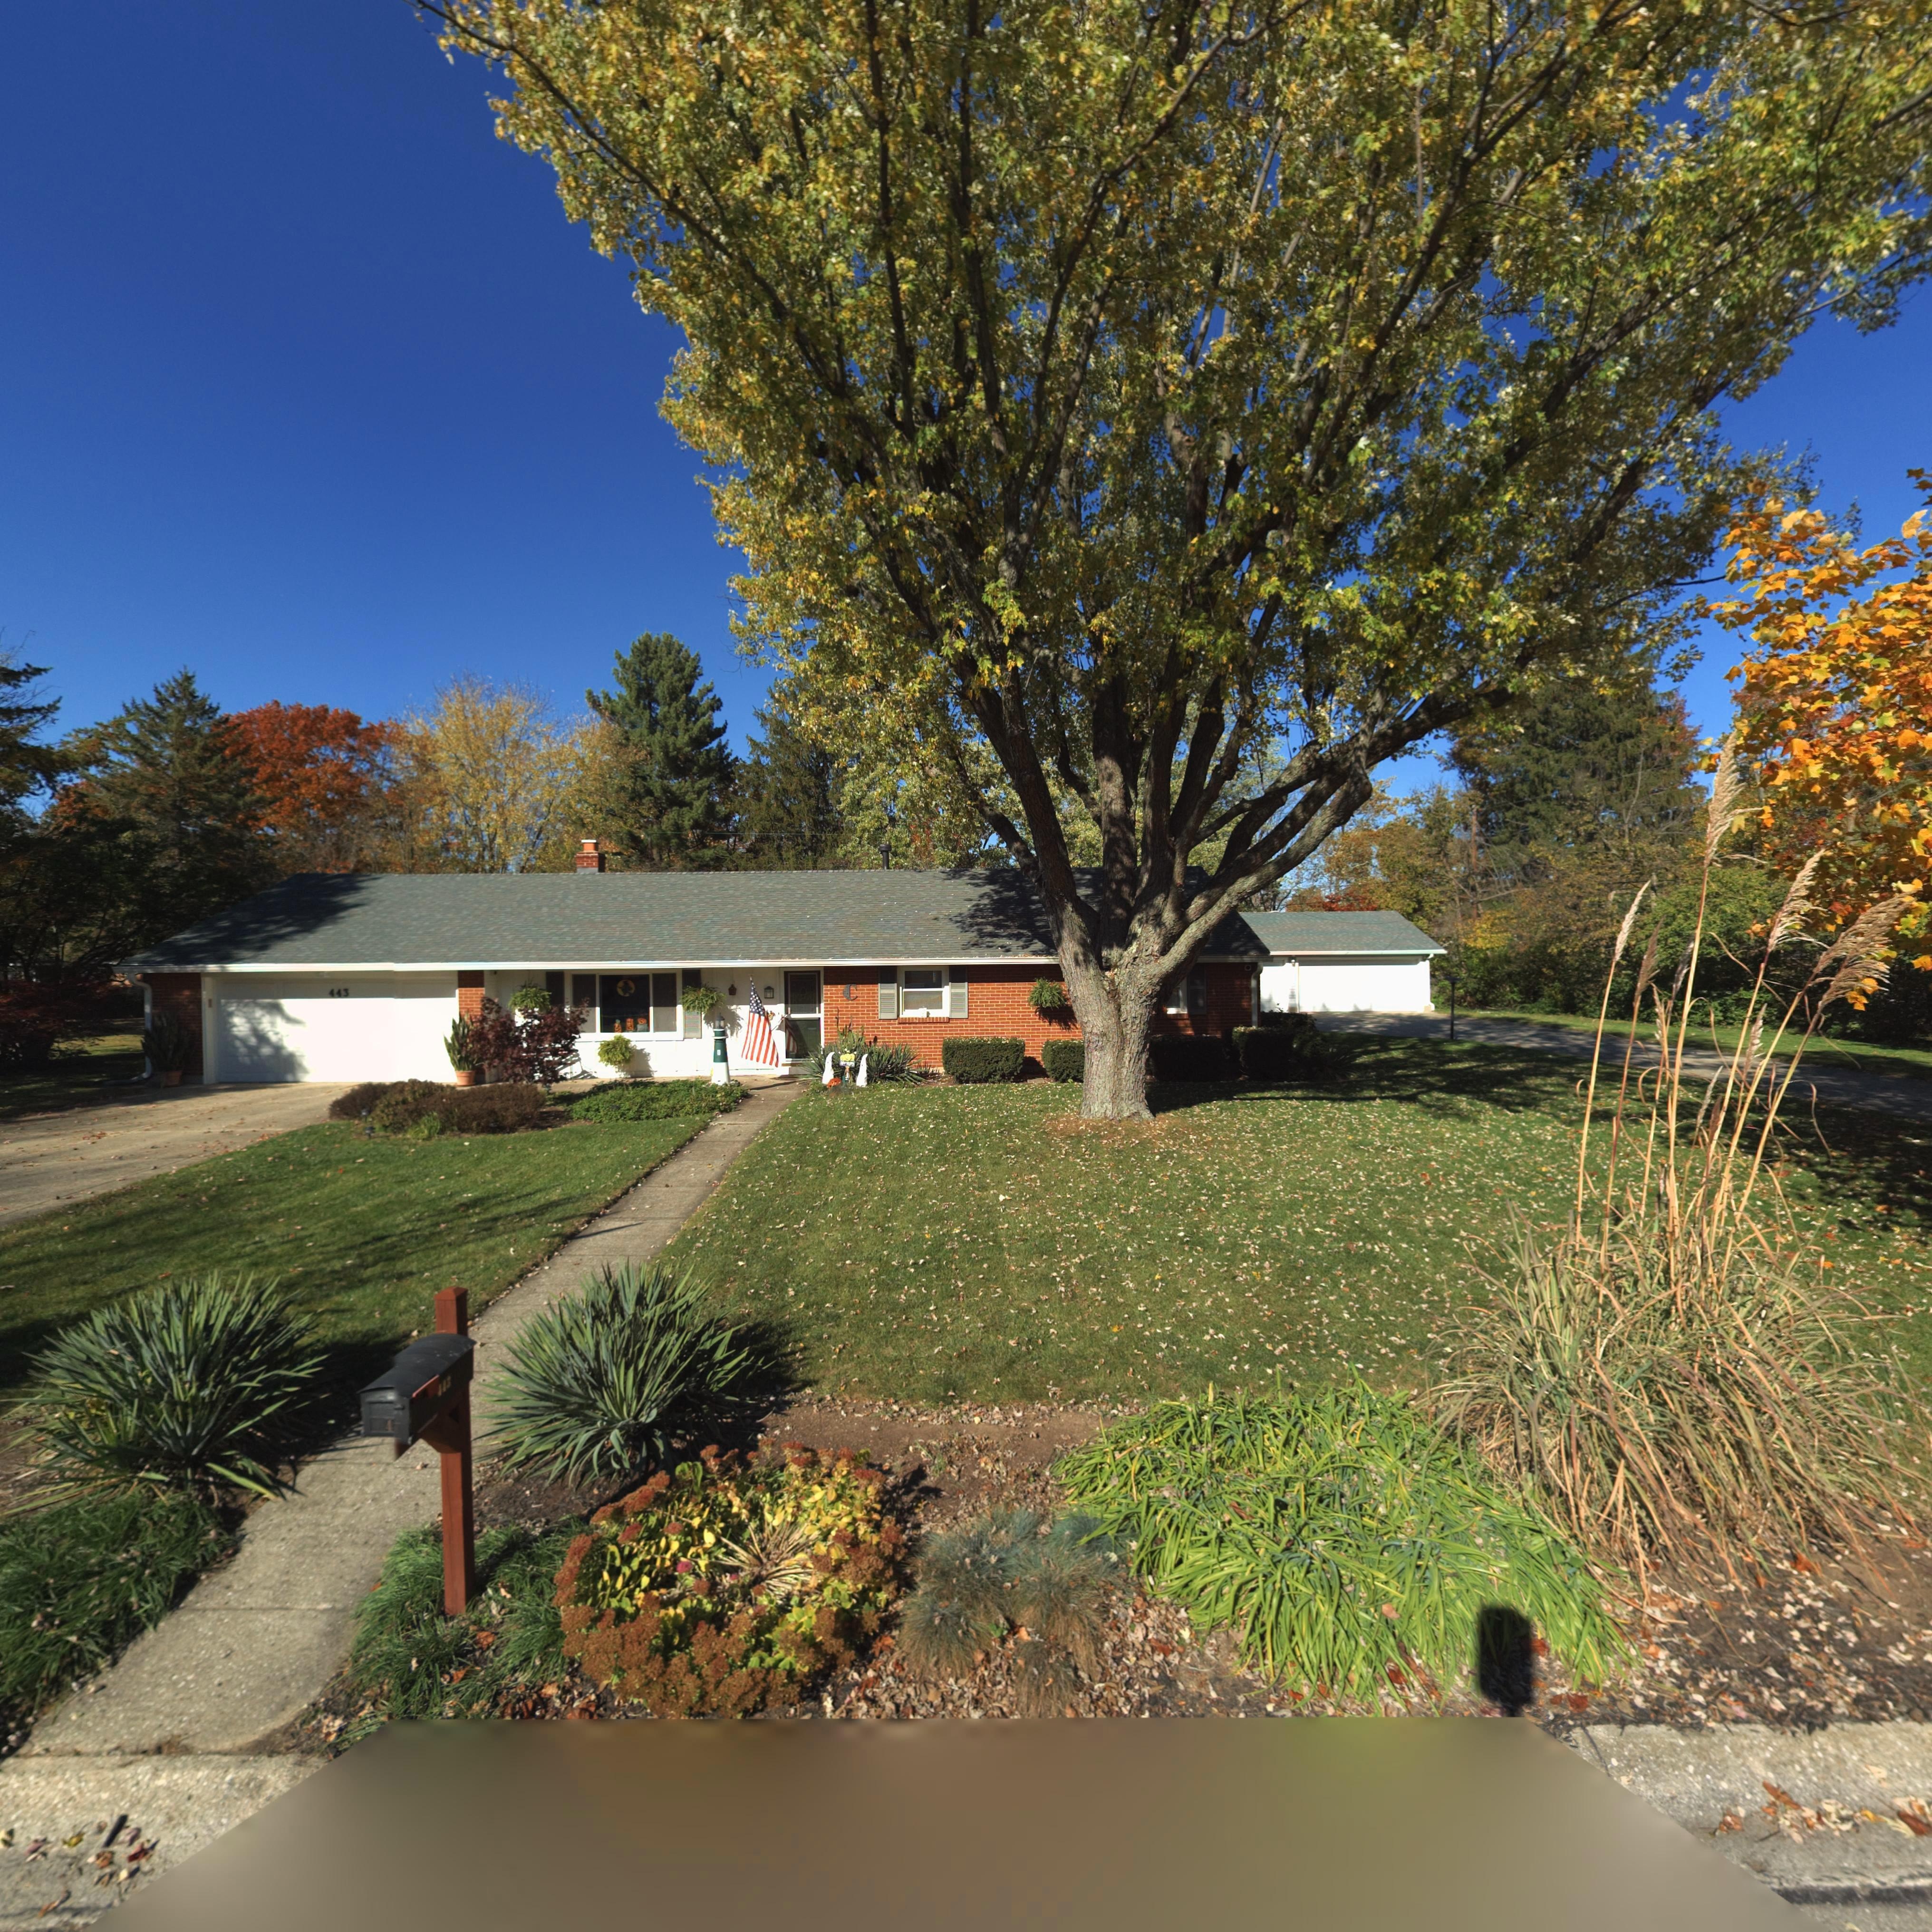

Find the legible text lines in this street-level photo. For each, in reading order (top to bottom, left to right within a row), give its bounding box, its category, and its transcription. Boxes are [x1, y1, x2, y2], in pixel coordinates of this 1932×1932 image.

[328, 988, 349, 997] StreetNumber: 443
[842, 983, 858, 1001] None: C
[436, 1375, 452, 1399] StreetNumber: 443
[385, 1419, 393, 1432] StreetNumber: 4